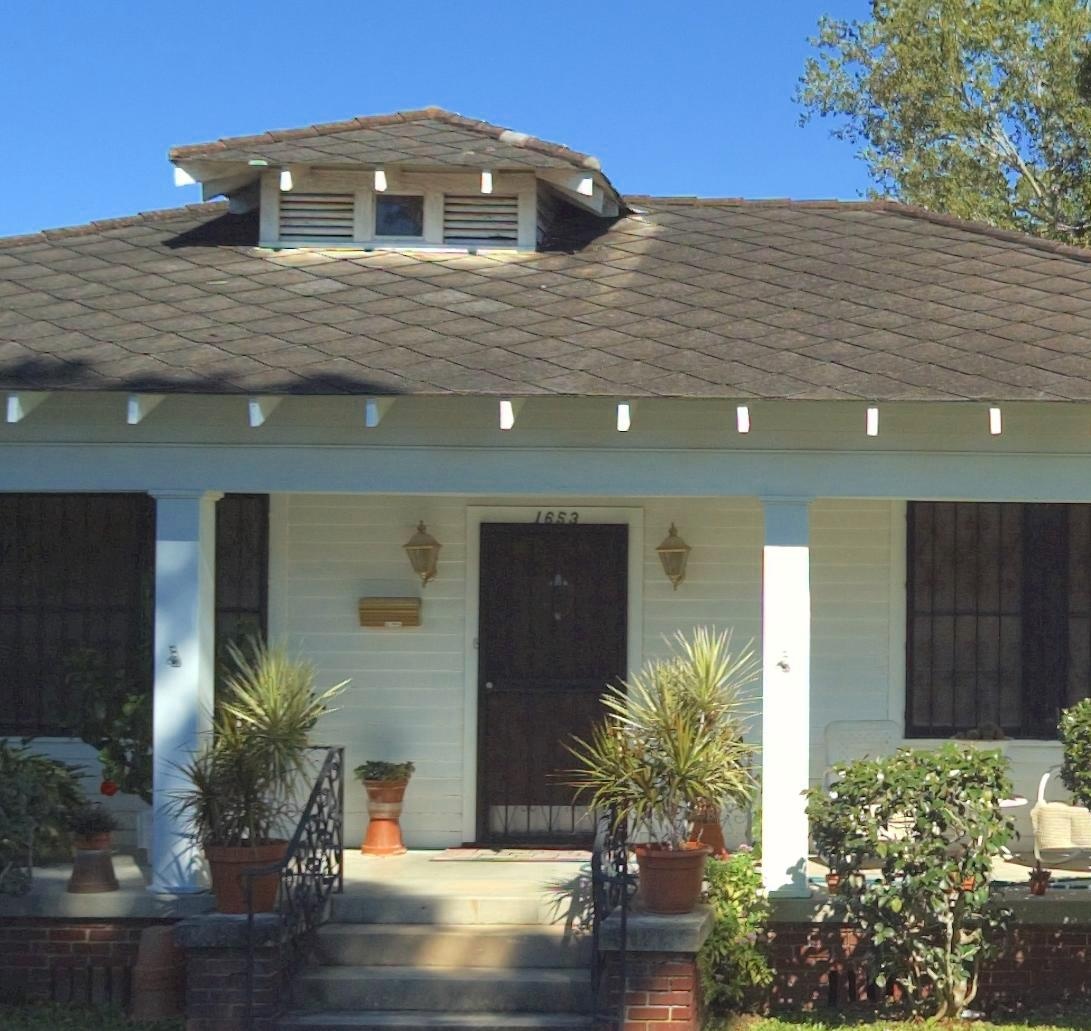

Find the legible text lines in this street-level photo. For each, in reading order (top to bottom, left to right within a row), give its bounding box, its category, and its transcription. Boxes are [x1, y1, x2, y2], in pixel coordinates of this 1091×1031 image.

[531, 508, 581, 528] StreetNumber: 1653